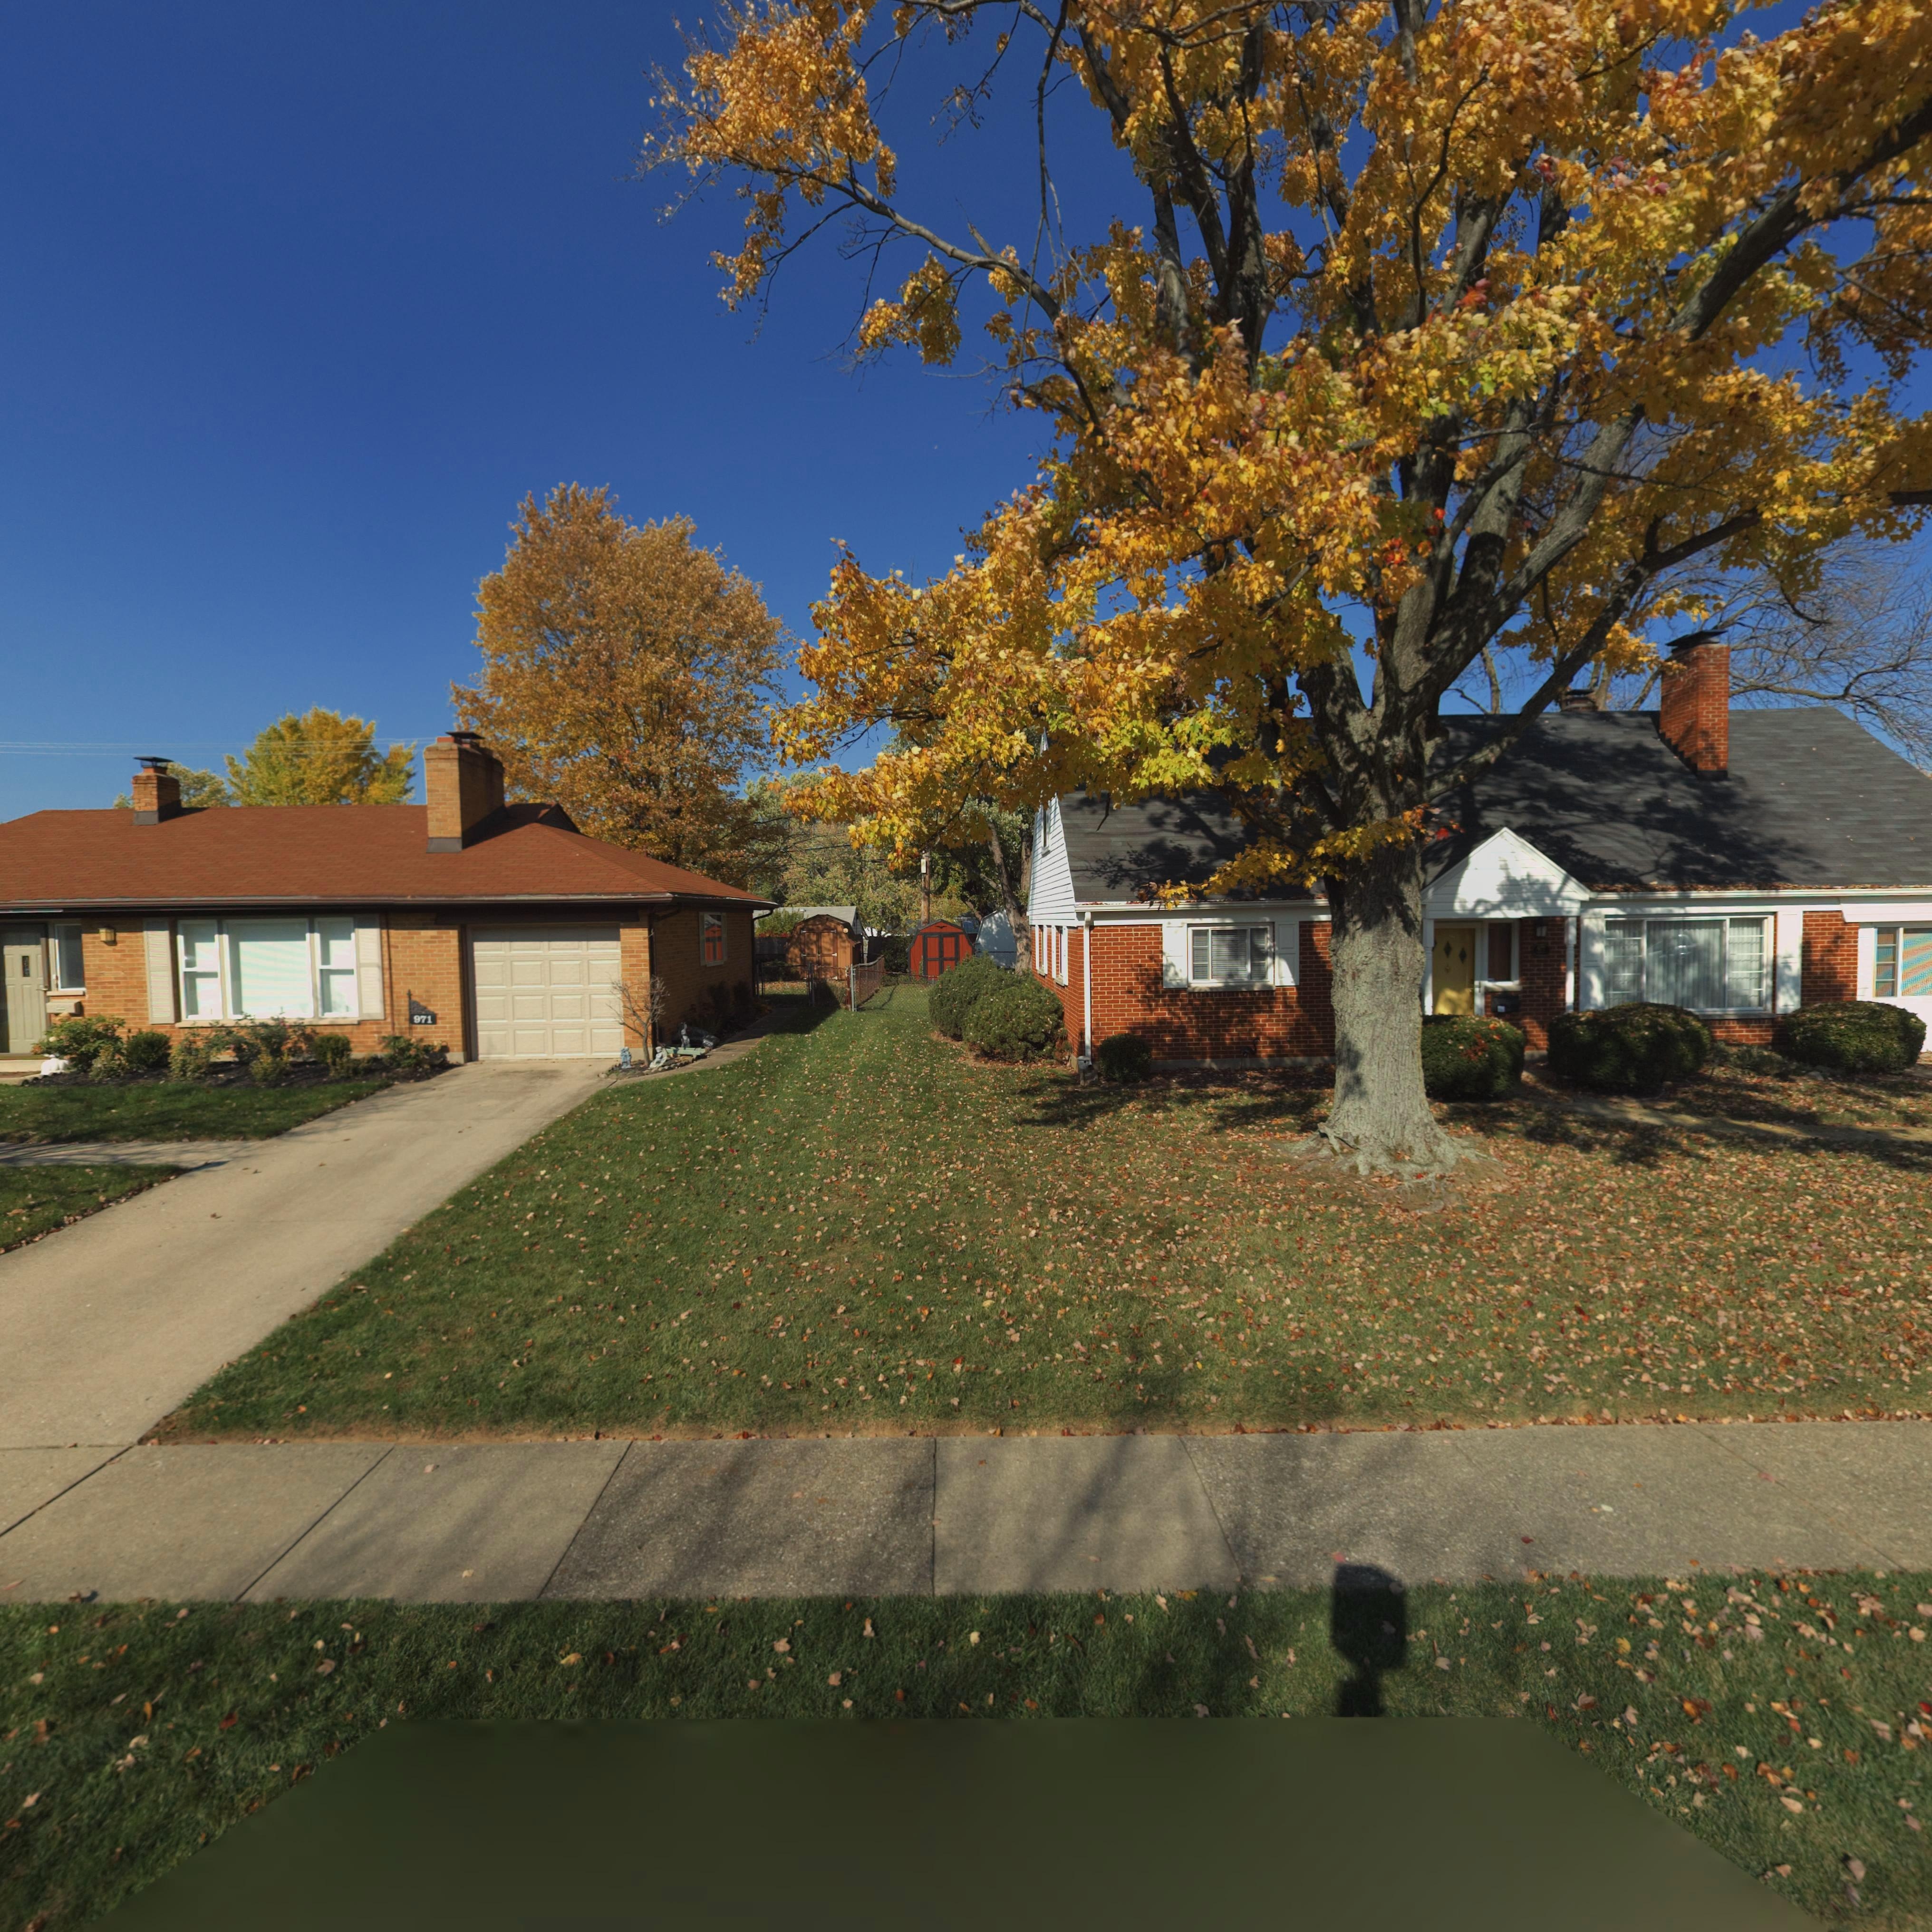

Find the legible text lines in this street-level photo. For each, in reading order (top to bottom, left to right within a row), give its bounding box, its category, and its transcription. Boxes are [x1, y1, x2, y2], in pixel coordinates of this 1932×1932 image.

[412, 1014, 434, 1025] StreetNumber: 971